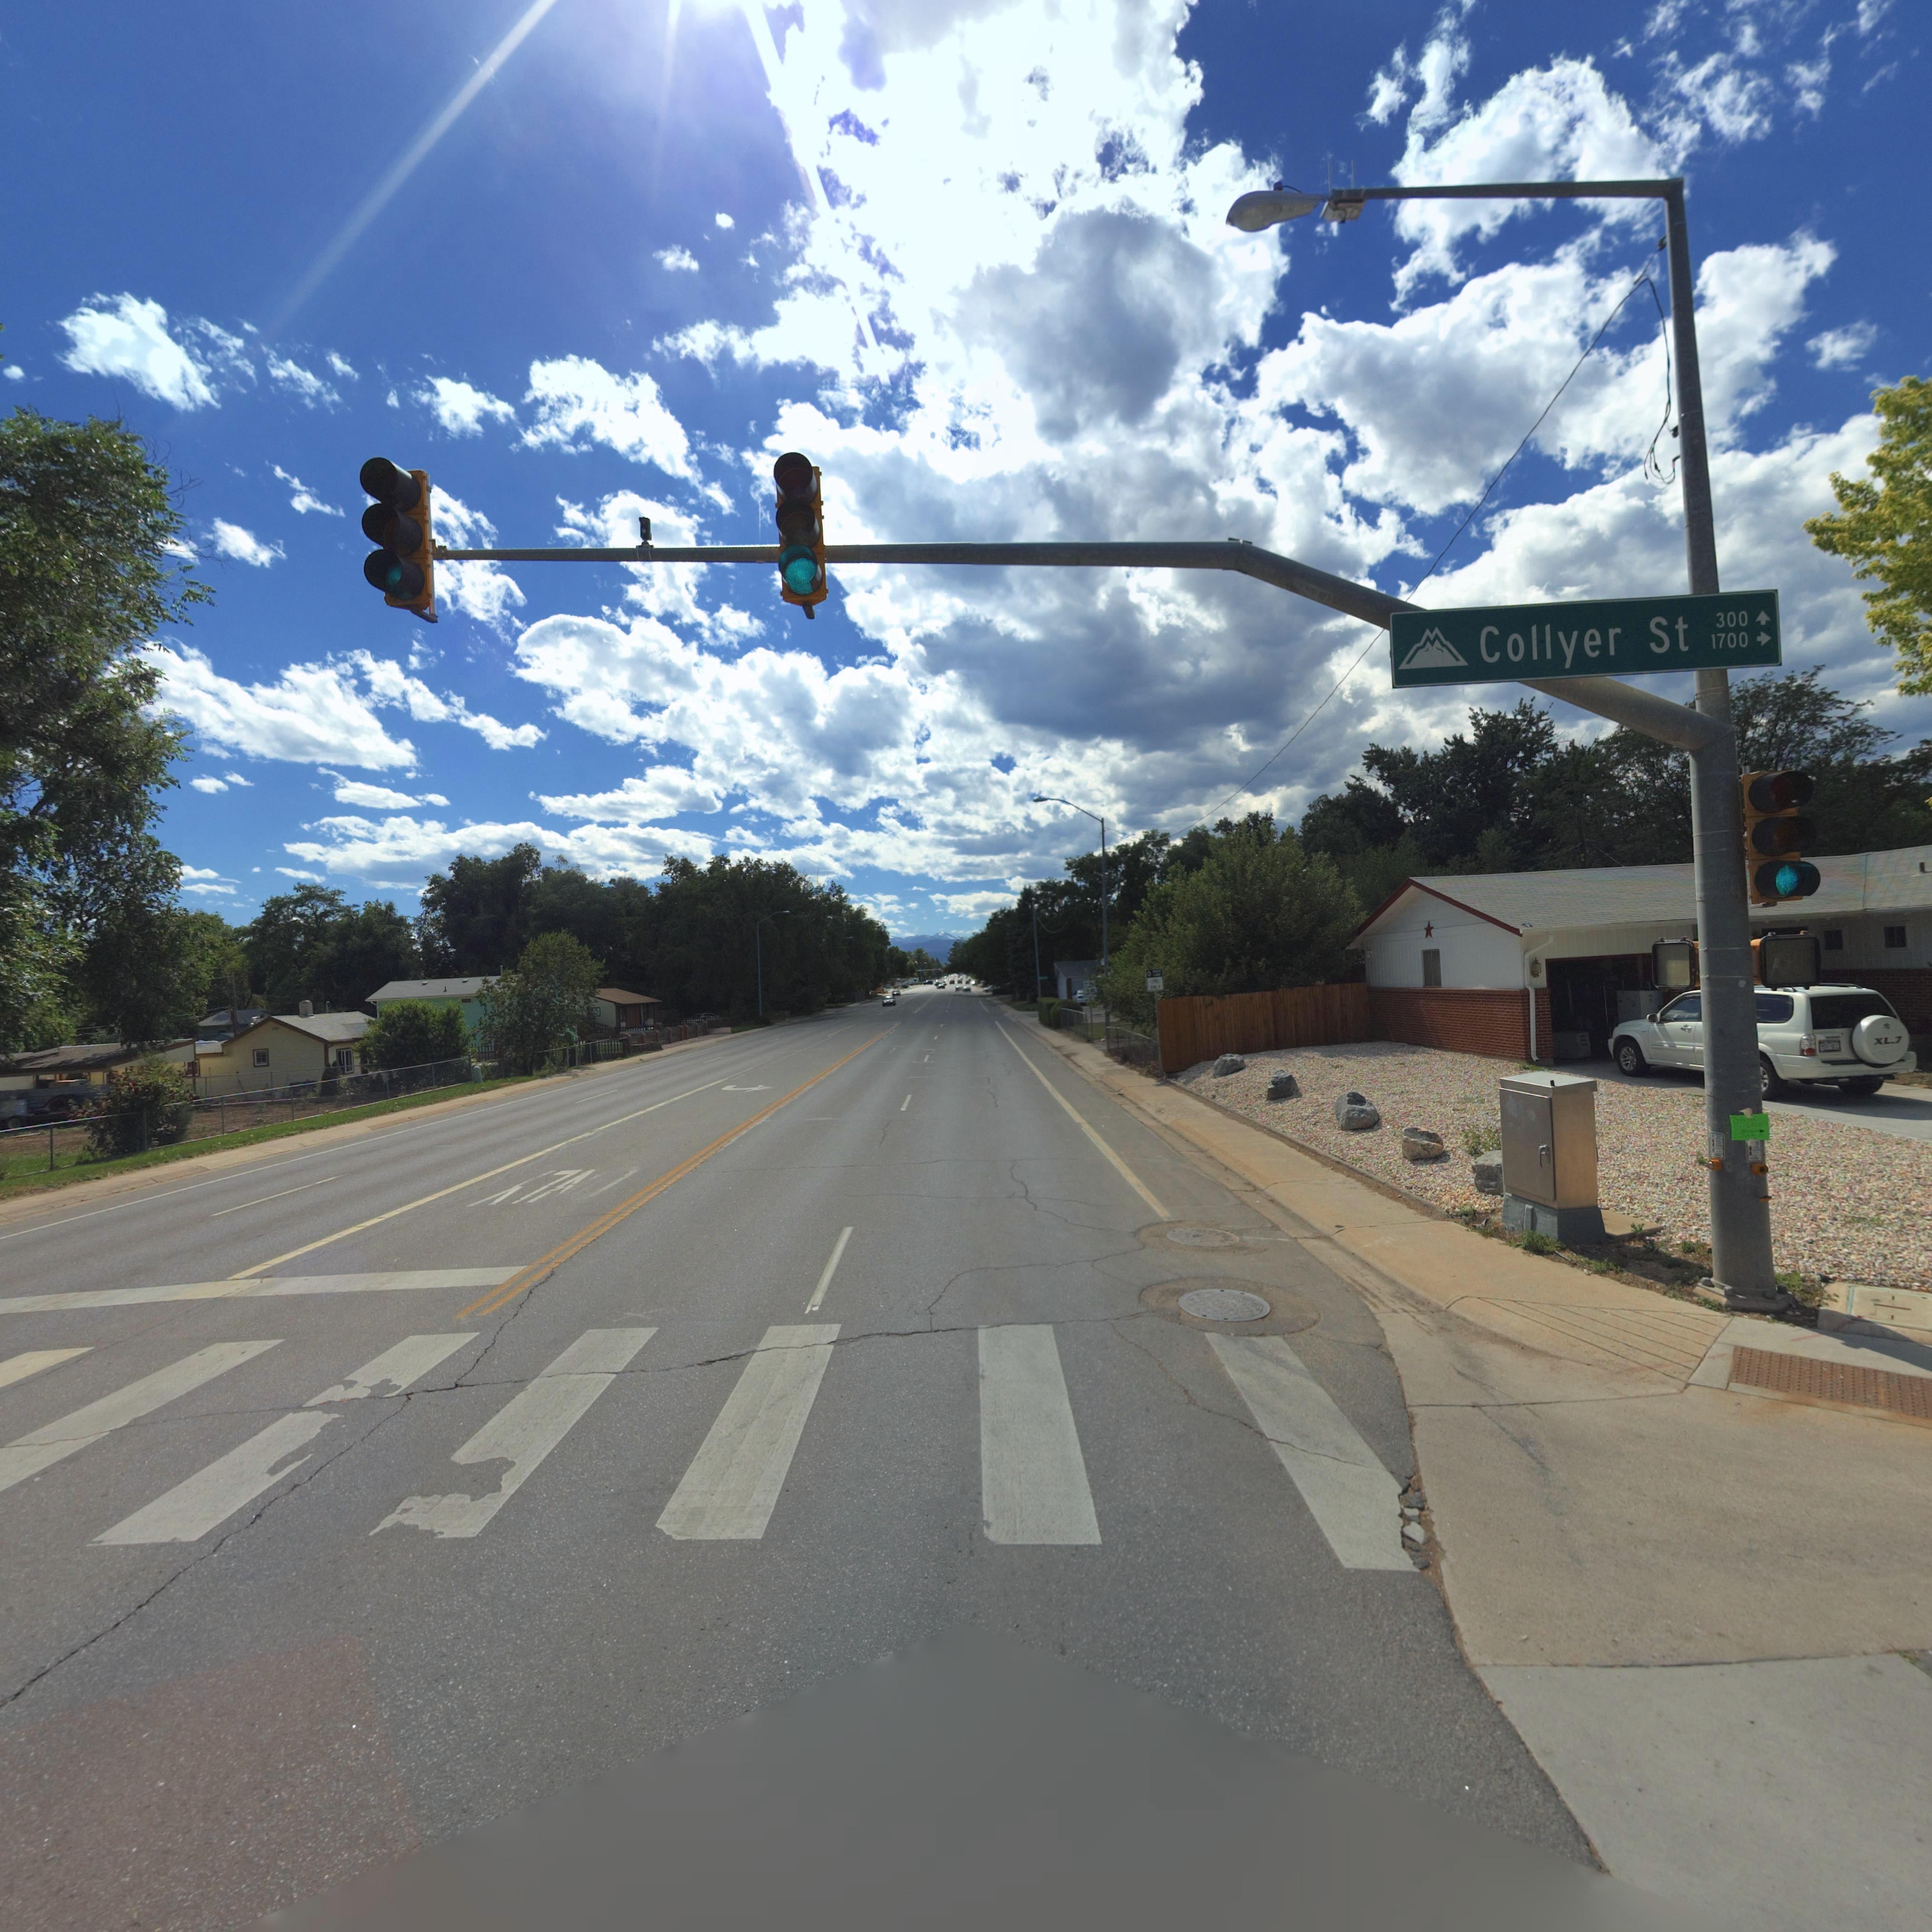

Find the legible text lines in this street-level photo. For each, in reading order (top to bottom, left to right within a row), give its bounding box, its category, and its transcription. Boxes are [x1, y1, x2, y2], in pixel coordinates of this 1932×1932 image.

[1716, 610, 1748, 628] StreetNumberRange: 300
[1478, 614, 1690, 669] StreetName: Collyer St
[1710, 631, 1772, 649] StreetNumberRange: 1700->